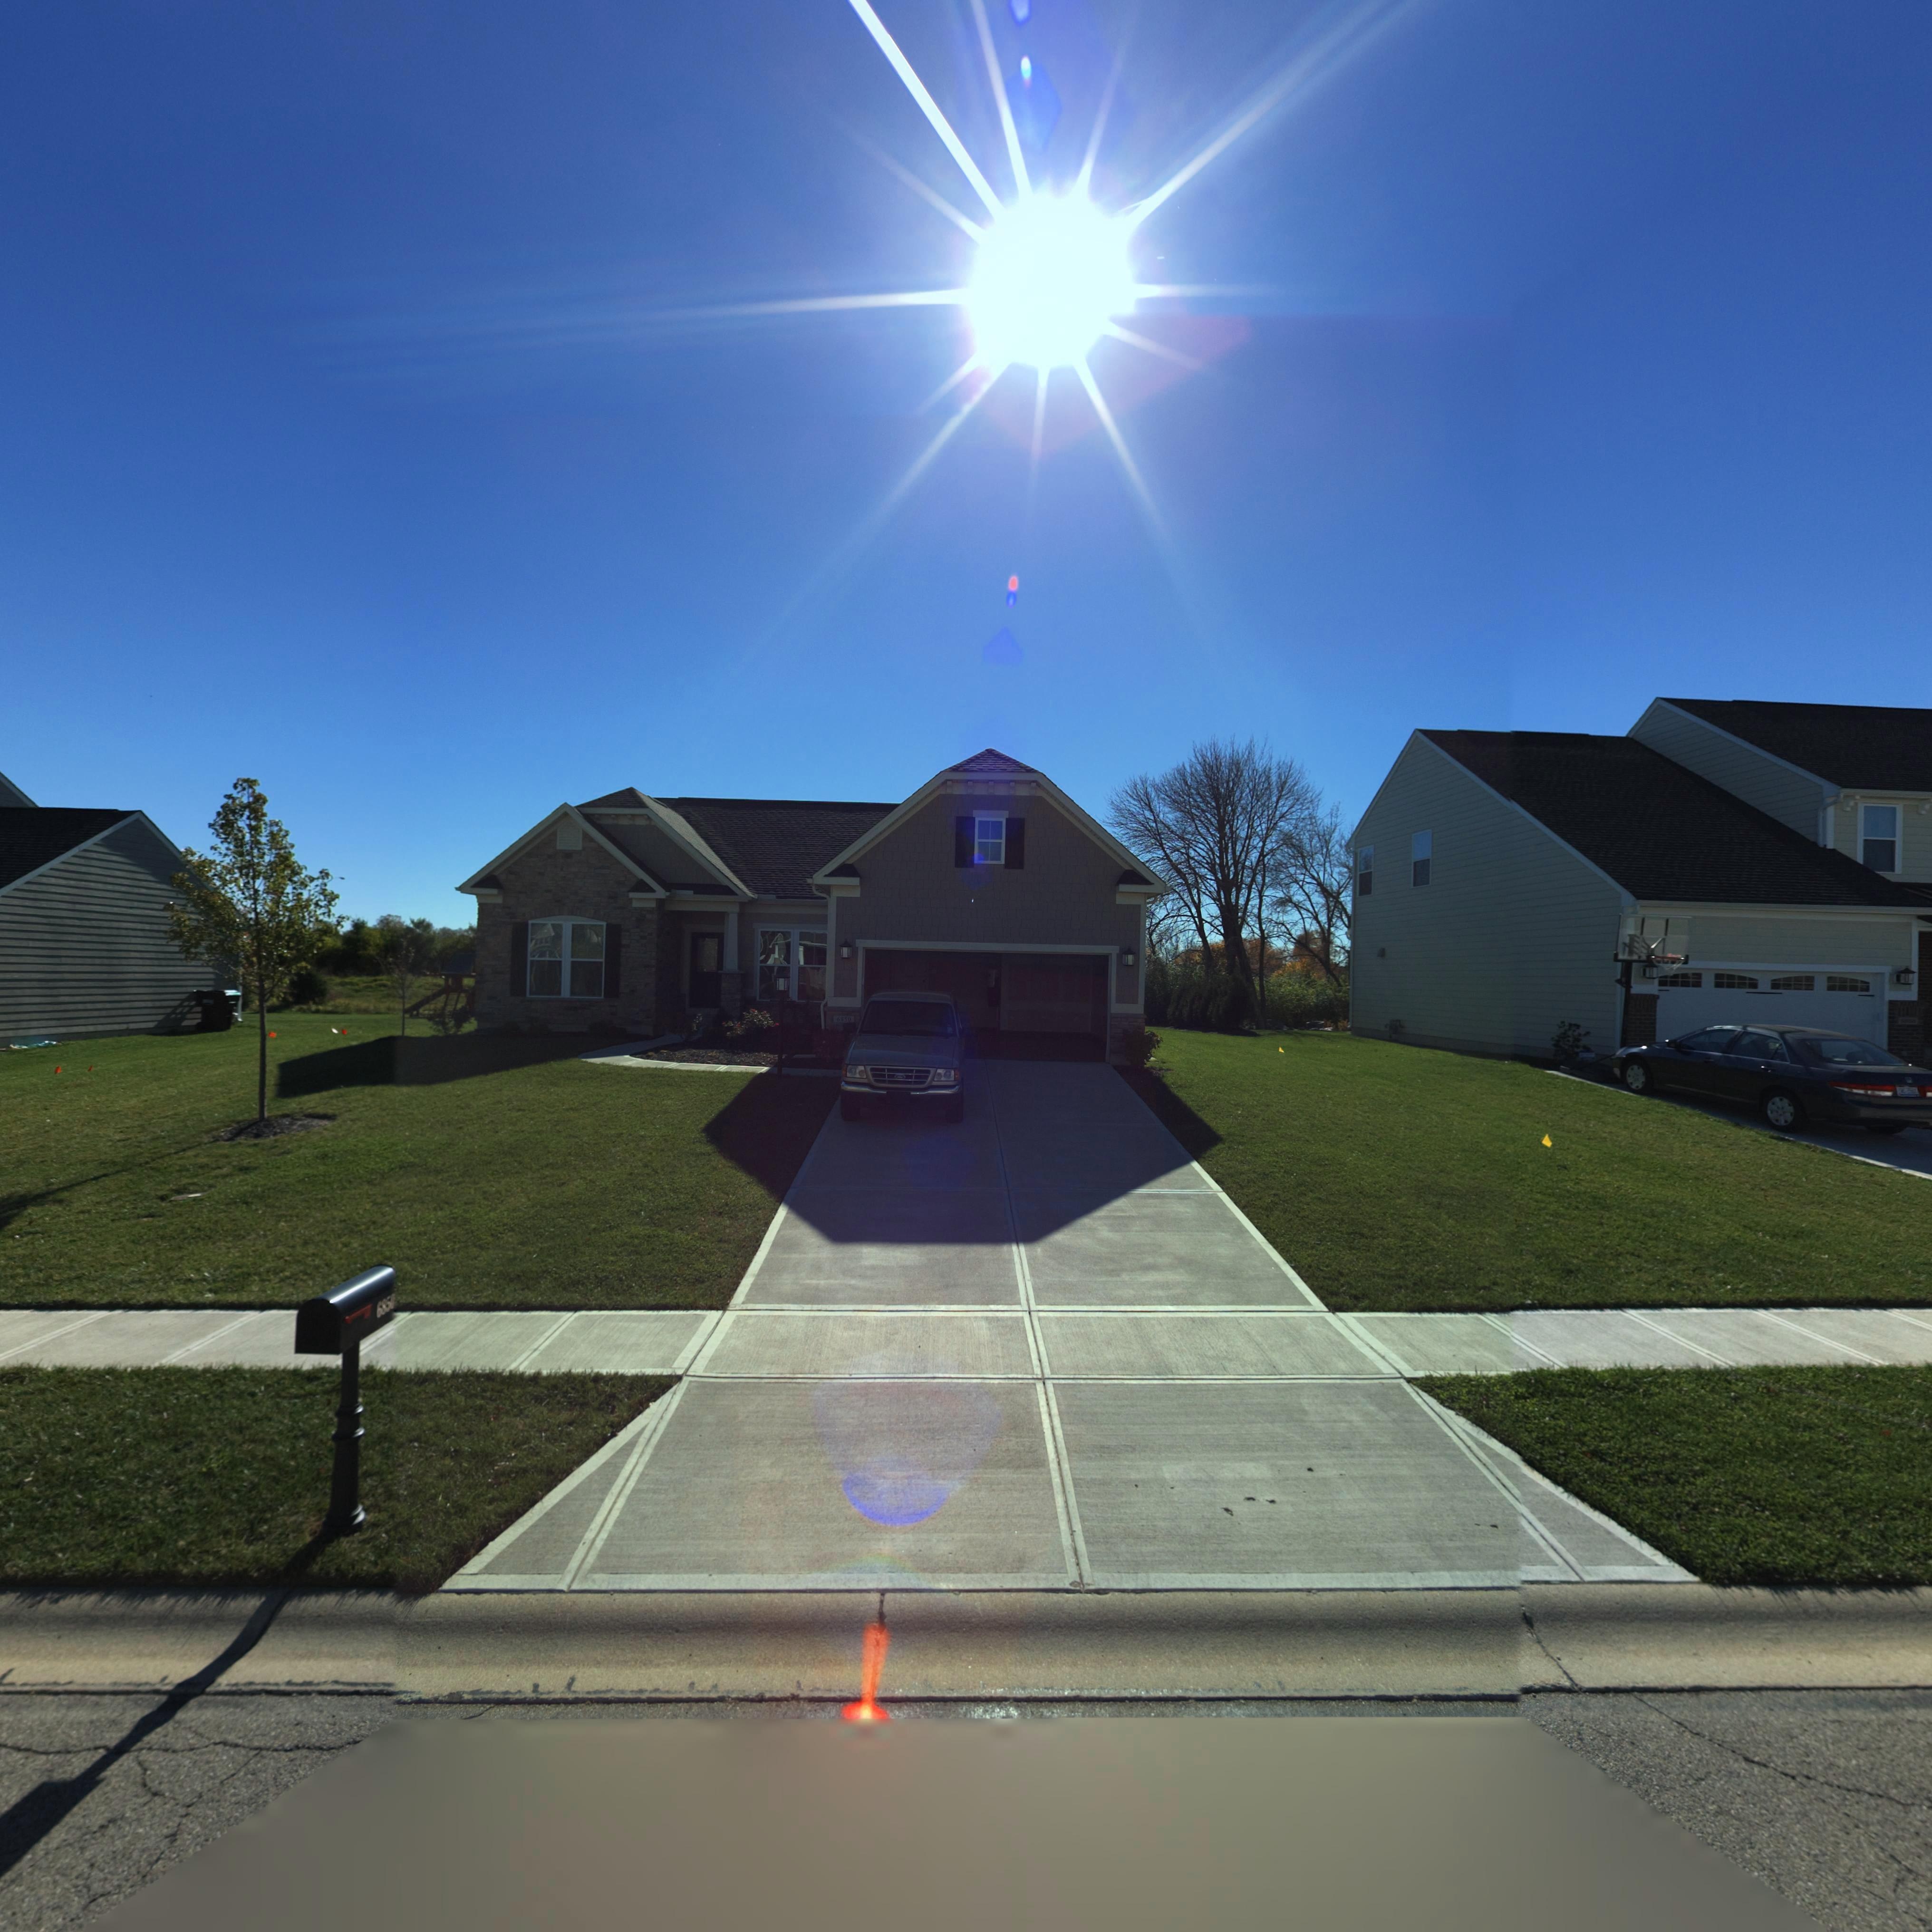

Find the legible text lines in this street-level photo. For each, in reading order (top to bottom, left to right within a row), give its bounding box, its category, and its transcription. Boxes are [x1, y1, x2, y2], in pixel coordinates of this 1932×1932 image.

[836, 1015, 852, 1023] StreetNumber: 6**0
[375, 1293, 392, 1321] StreetNumber: 685